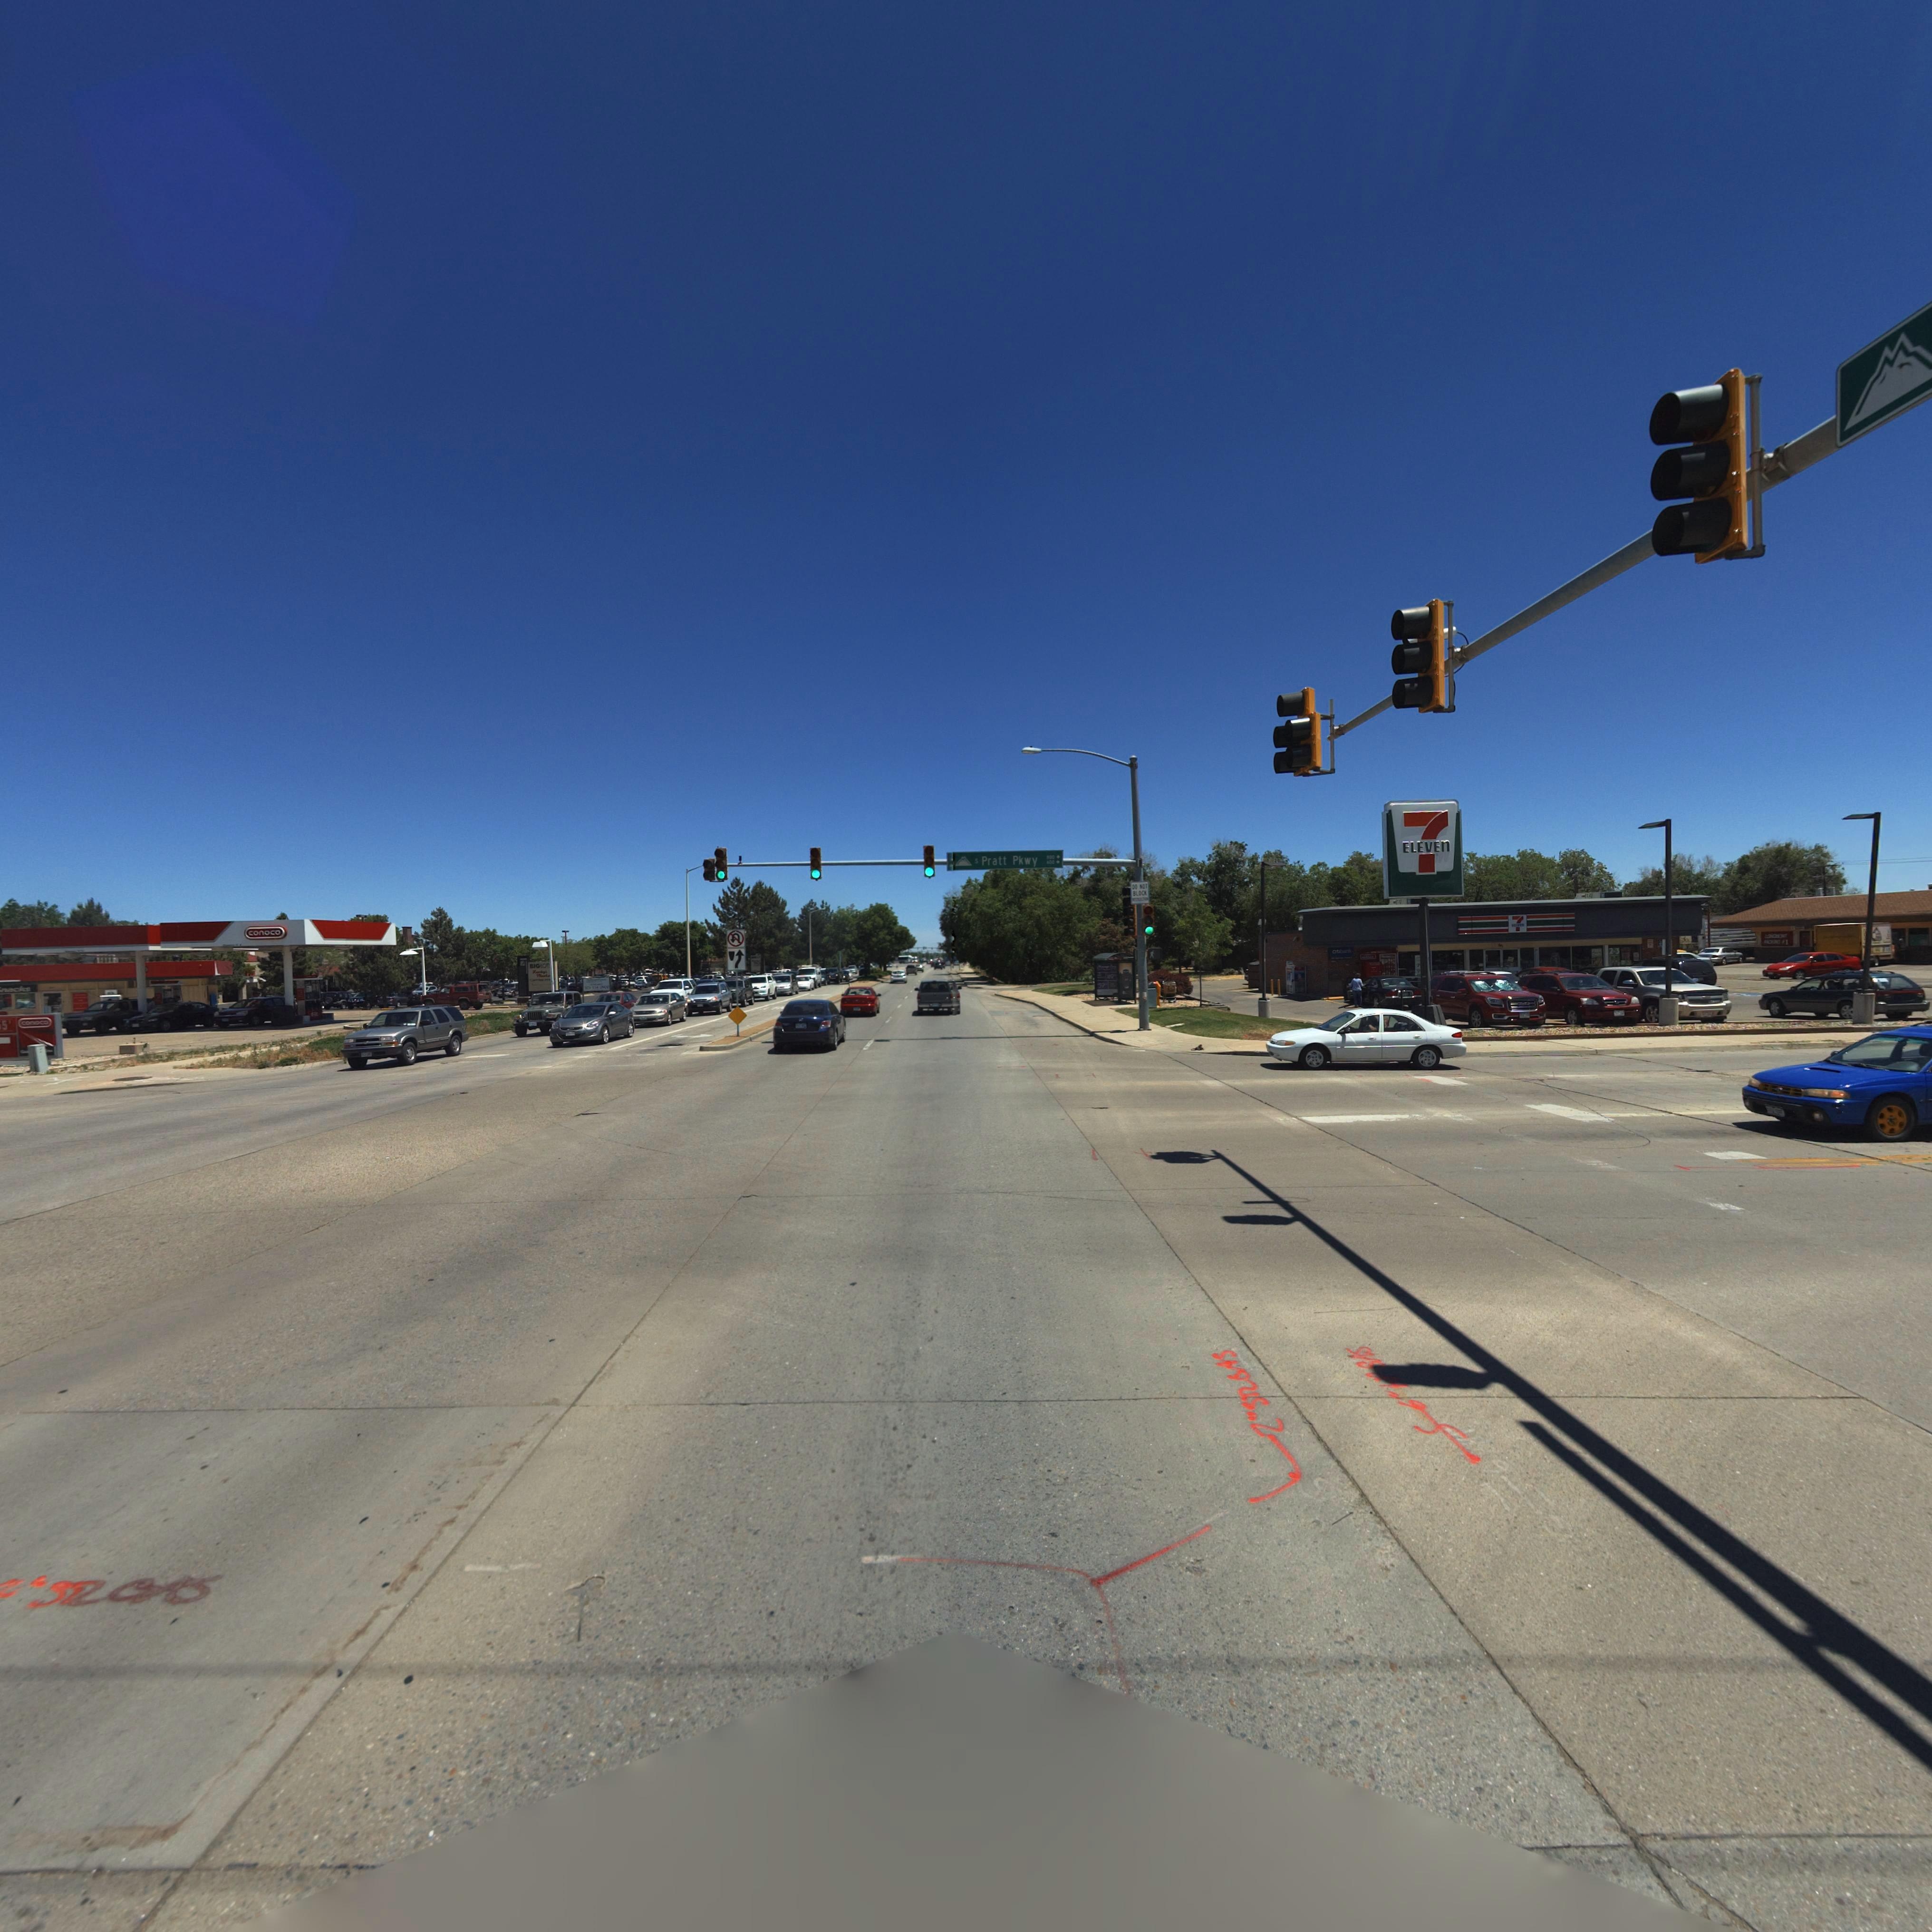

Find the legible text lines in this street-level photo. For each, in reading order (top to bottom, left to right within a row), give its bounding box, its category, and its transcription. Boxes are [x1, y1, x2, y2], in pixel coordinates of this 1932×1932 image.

[1402, 809, 1449, 875] BusinessName: 7
[1401, 840, 1450, 853] BusinessName: ELEVEN
[975, 854, 1038, 867] BusinessName: S Pratt Pkwy
[1046, 860, 1060, 864] StreetNumberRange: *00->
[1512, 915, 1524, 932] BusinessName: 7
[248, 929, 281, 936] BusinessName: conoco
[529, 963, 550, 969] BusinessName: BIG LOT
[20, 1020, 49, 1026] BusinessName: conoco